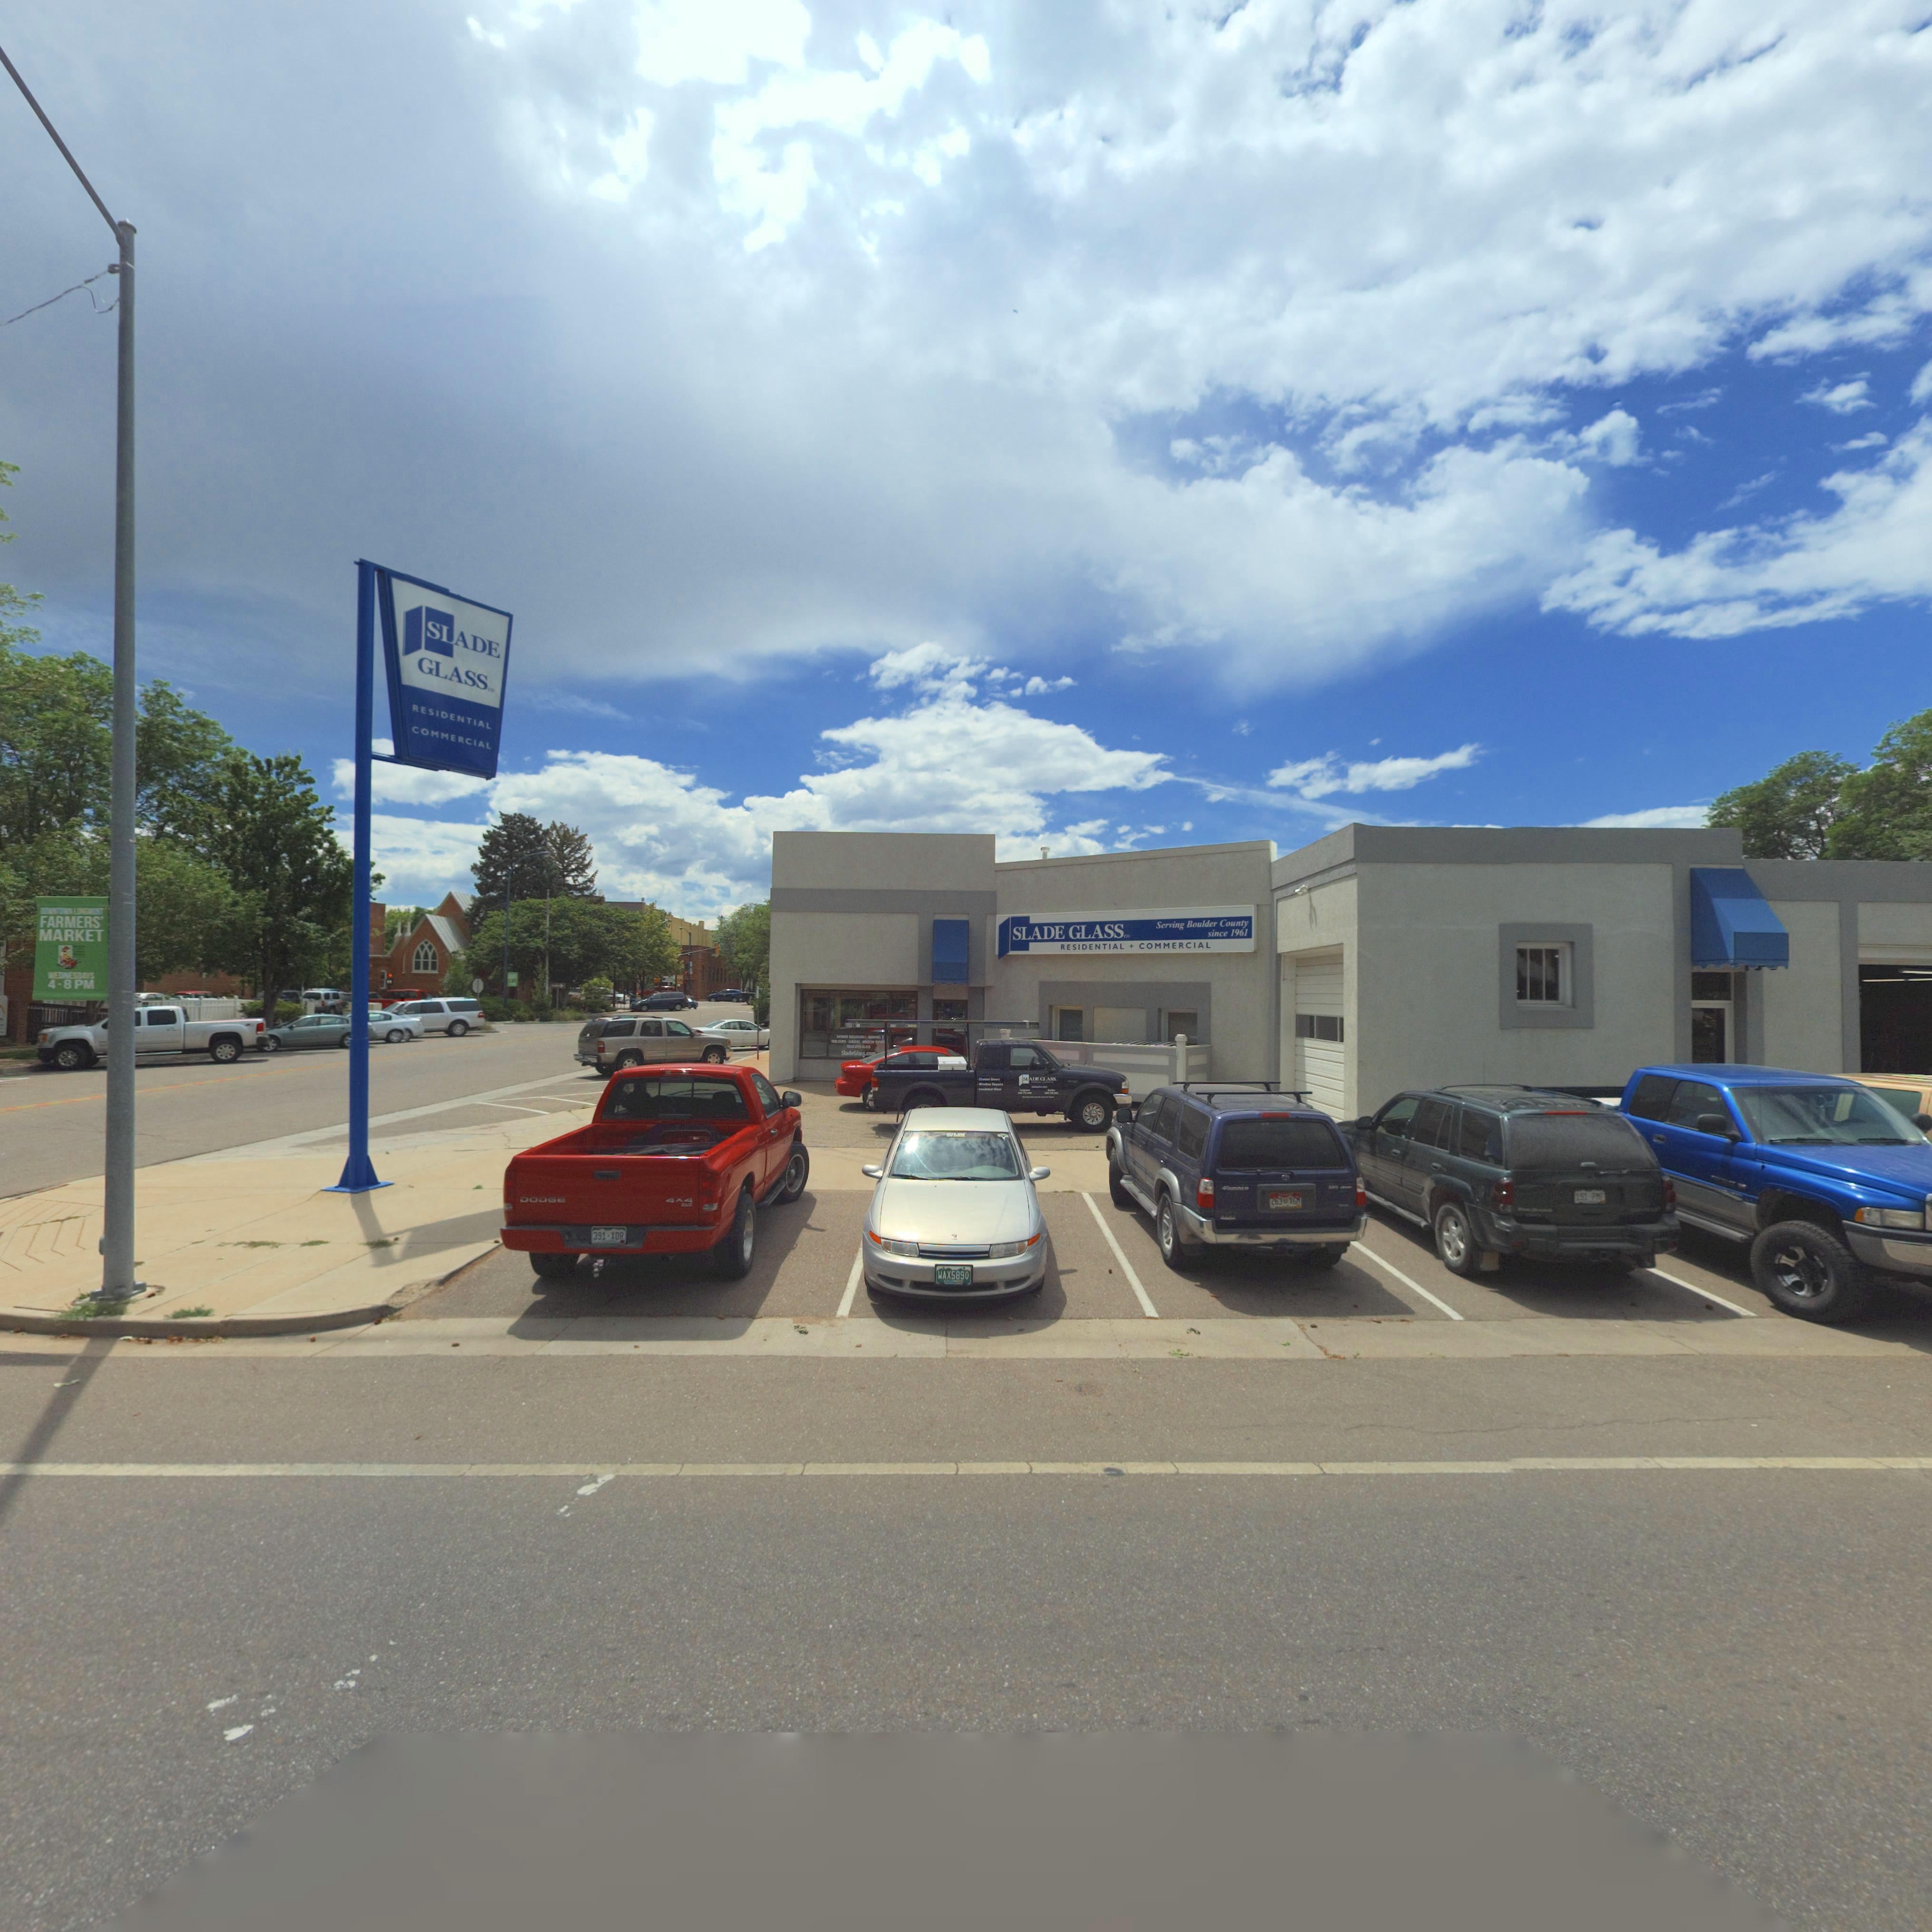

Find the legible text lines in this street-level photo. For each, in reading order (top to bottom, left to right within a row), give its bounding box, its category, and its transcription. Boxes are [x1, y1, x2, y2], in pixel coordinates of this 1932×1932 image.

[426, 620, 500, 659] BusinessName: SLADE
[417, 657, 488, 690] BusinessName: GLASS
[1012, 923, 1124, 940] BusinessName: SLADE GLASS